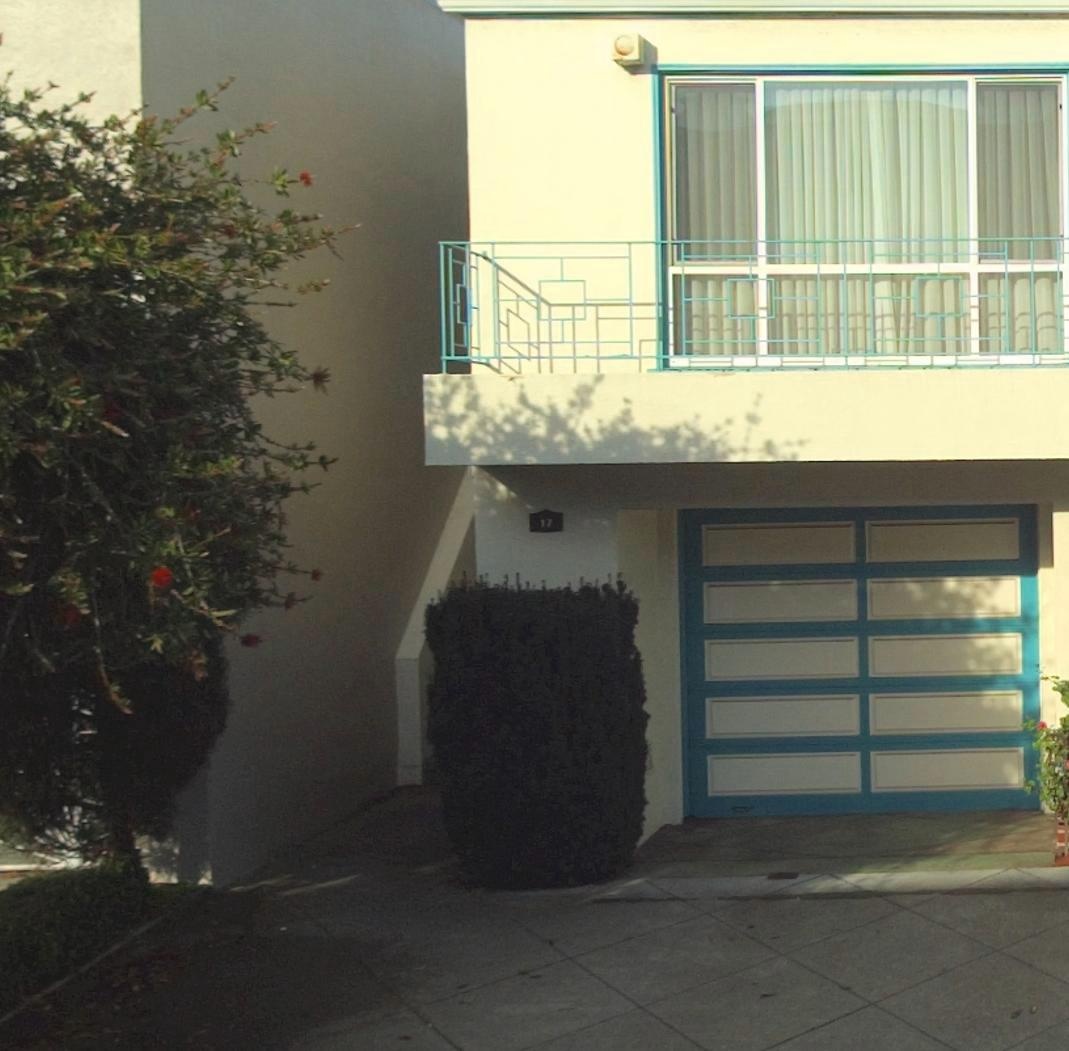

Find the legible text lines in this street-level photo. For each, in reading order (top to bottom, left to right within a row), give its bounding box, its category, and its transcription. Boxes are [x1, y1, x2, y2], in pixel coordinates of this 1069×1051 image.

[538, 517, 556, 530] StreetNumber: 17